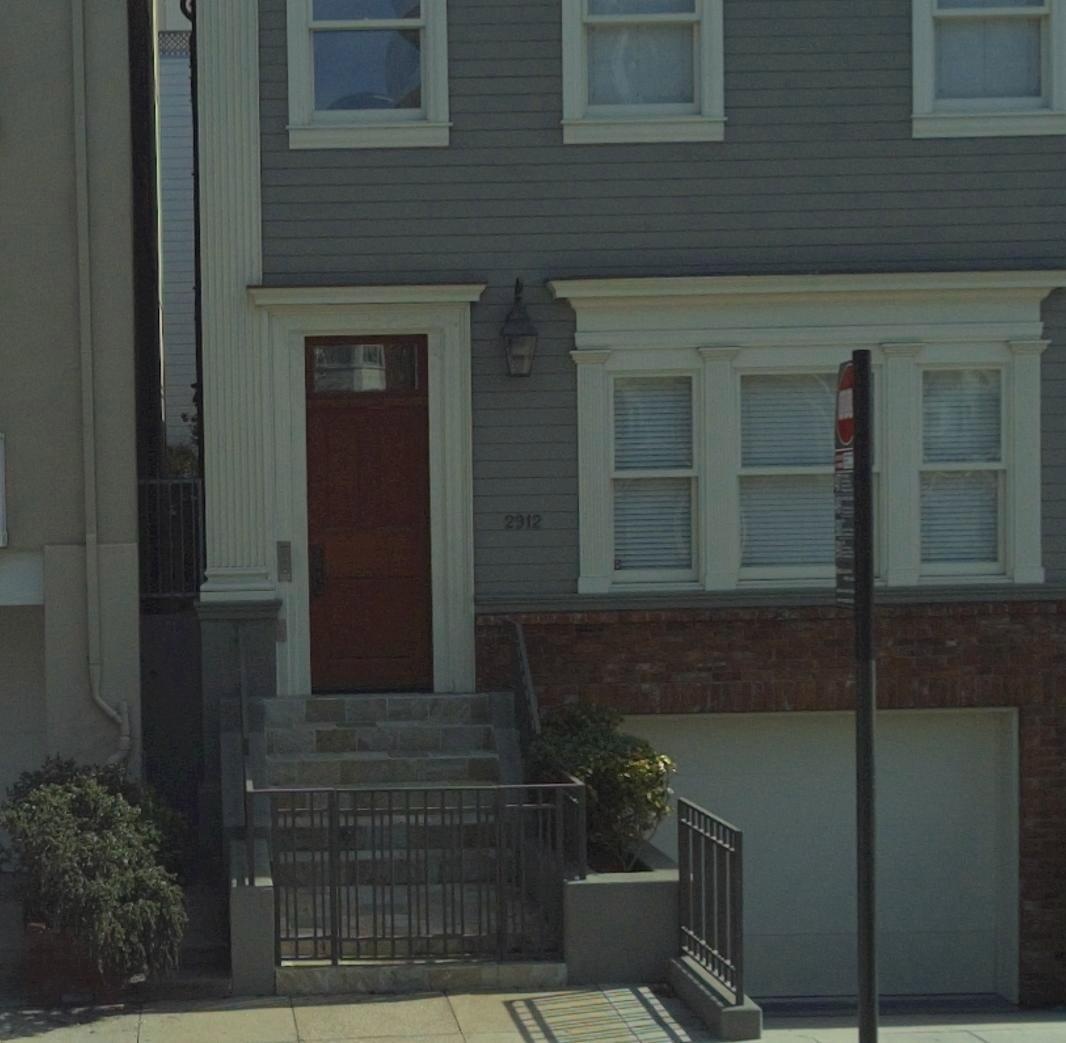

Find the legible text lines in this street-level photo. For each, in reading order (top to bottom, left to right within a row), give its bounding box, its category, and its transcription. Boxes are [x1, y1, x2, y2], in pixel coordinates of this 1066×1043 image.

[503, 512, 543, 532] StreetNumber: 2912